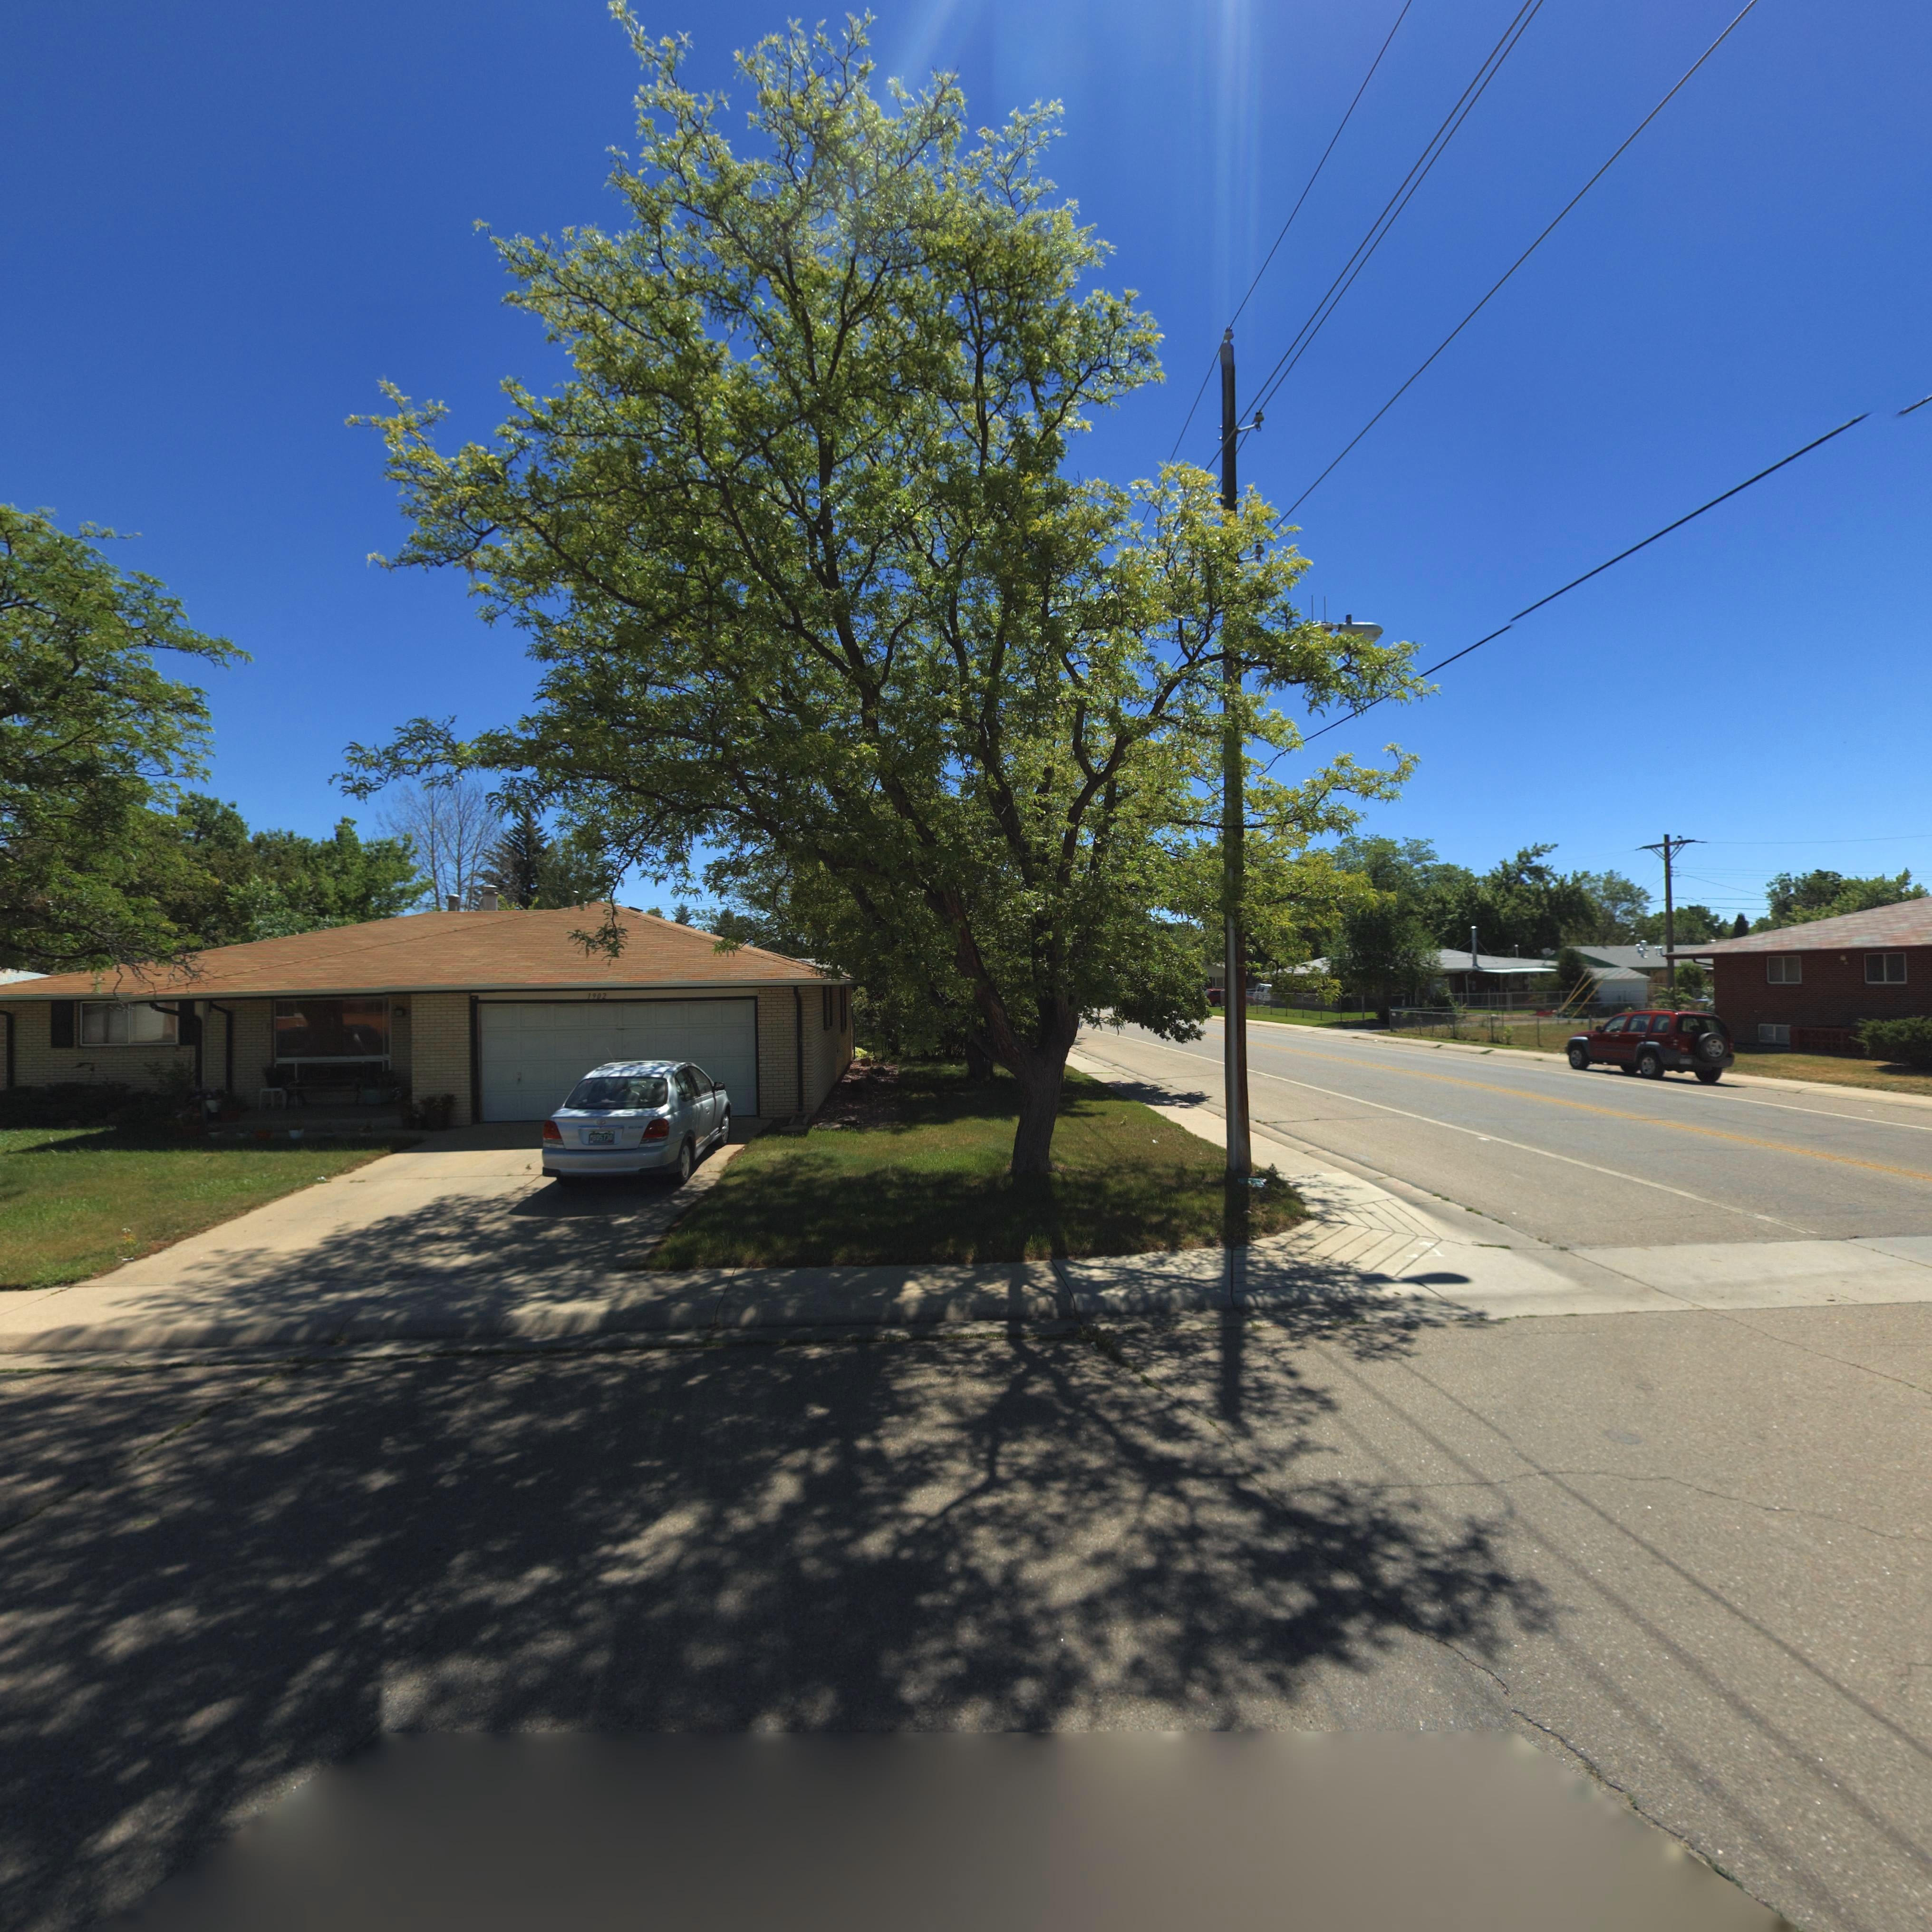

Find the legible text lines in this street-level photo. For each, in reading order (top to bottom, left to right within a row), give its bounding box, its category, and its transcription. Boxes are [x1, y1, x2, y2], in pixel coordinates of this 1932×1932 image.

[587, 992, 607, 1000] StreetNumber: 1902